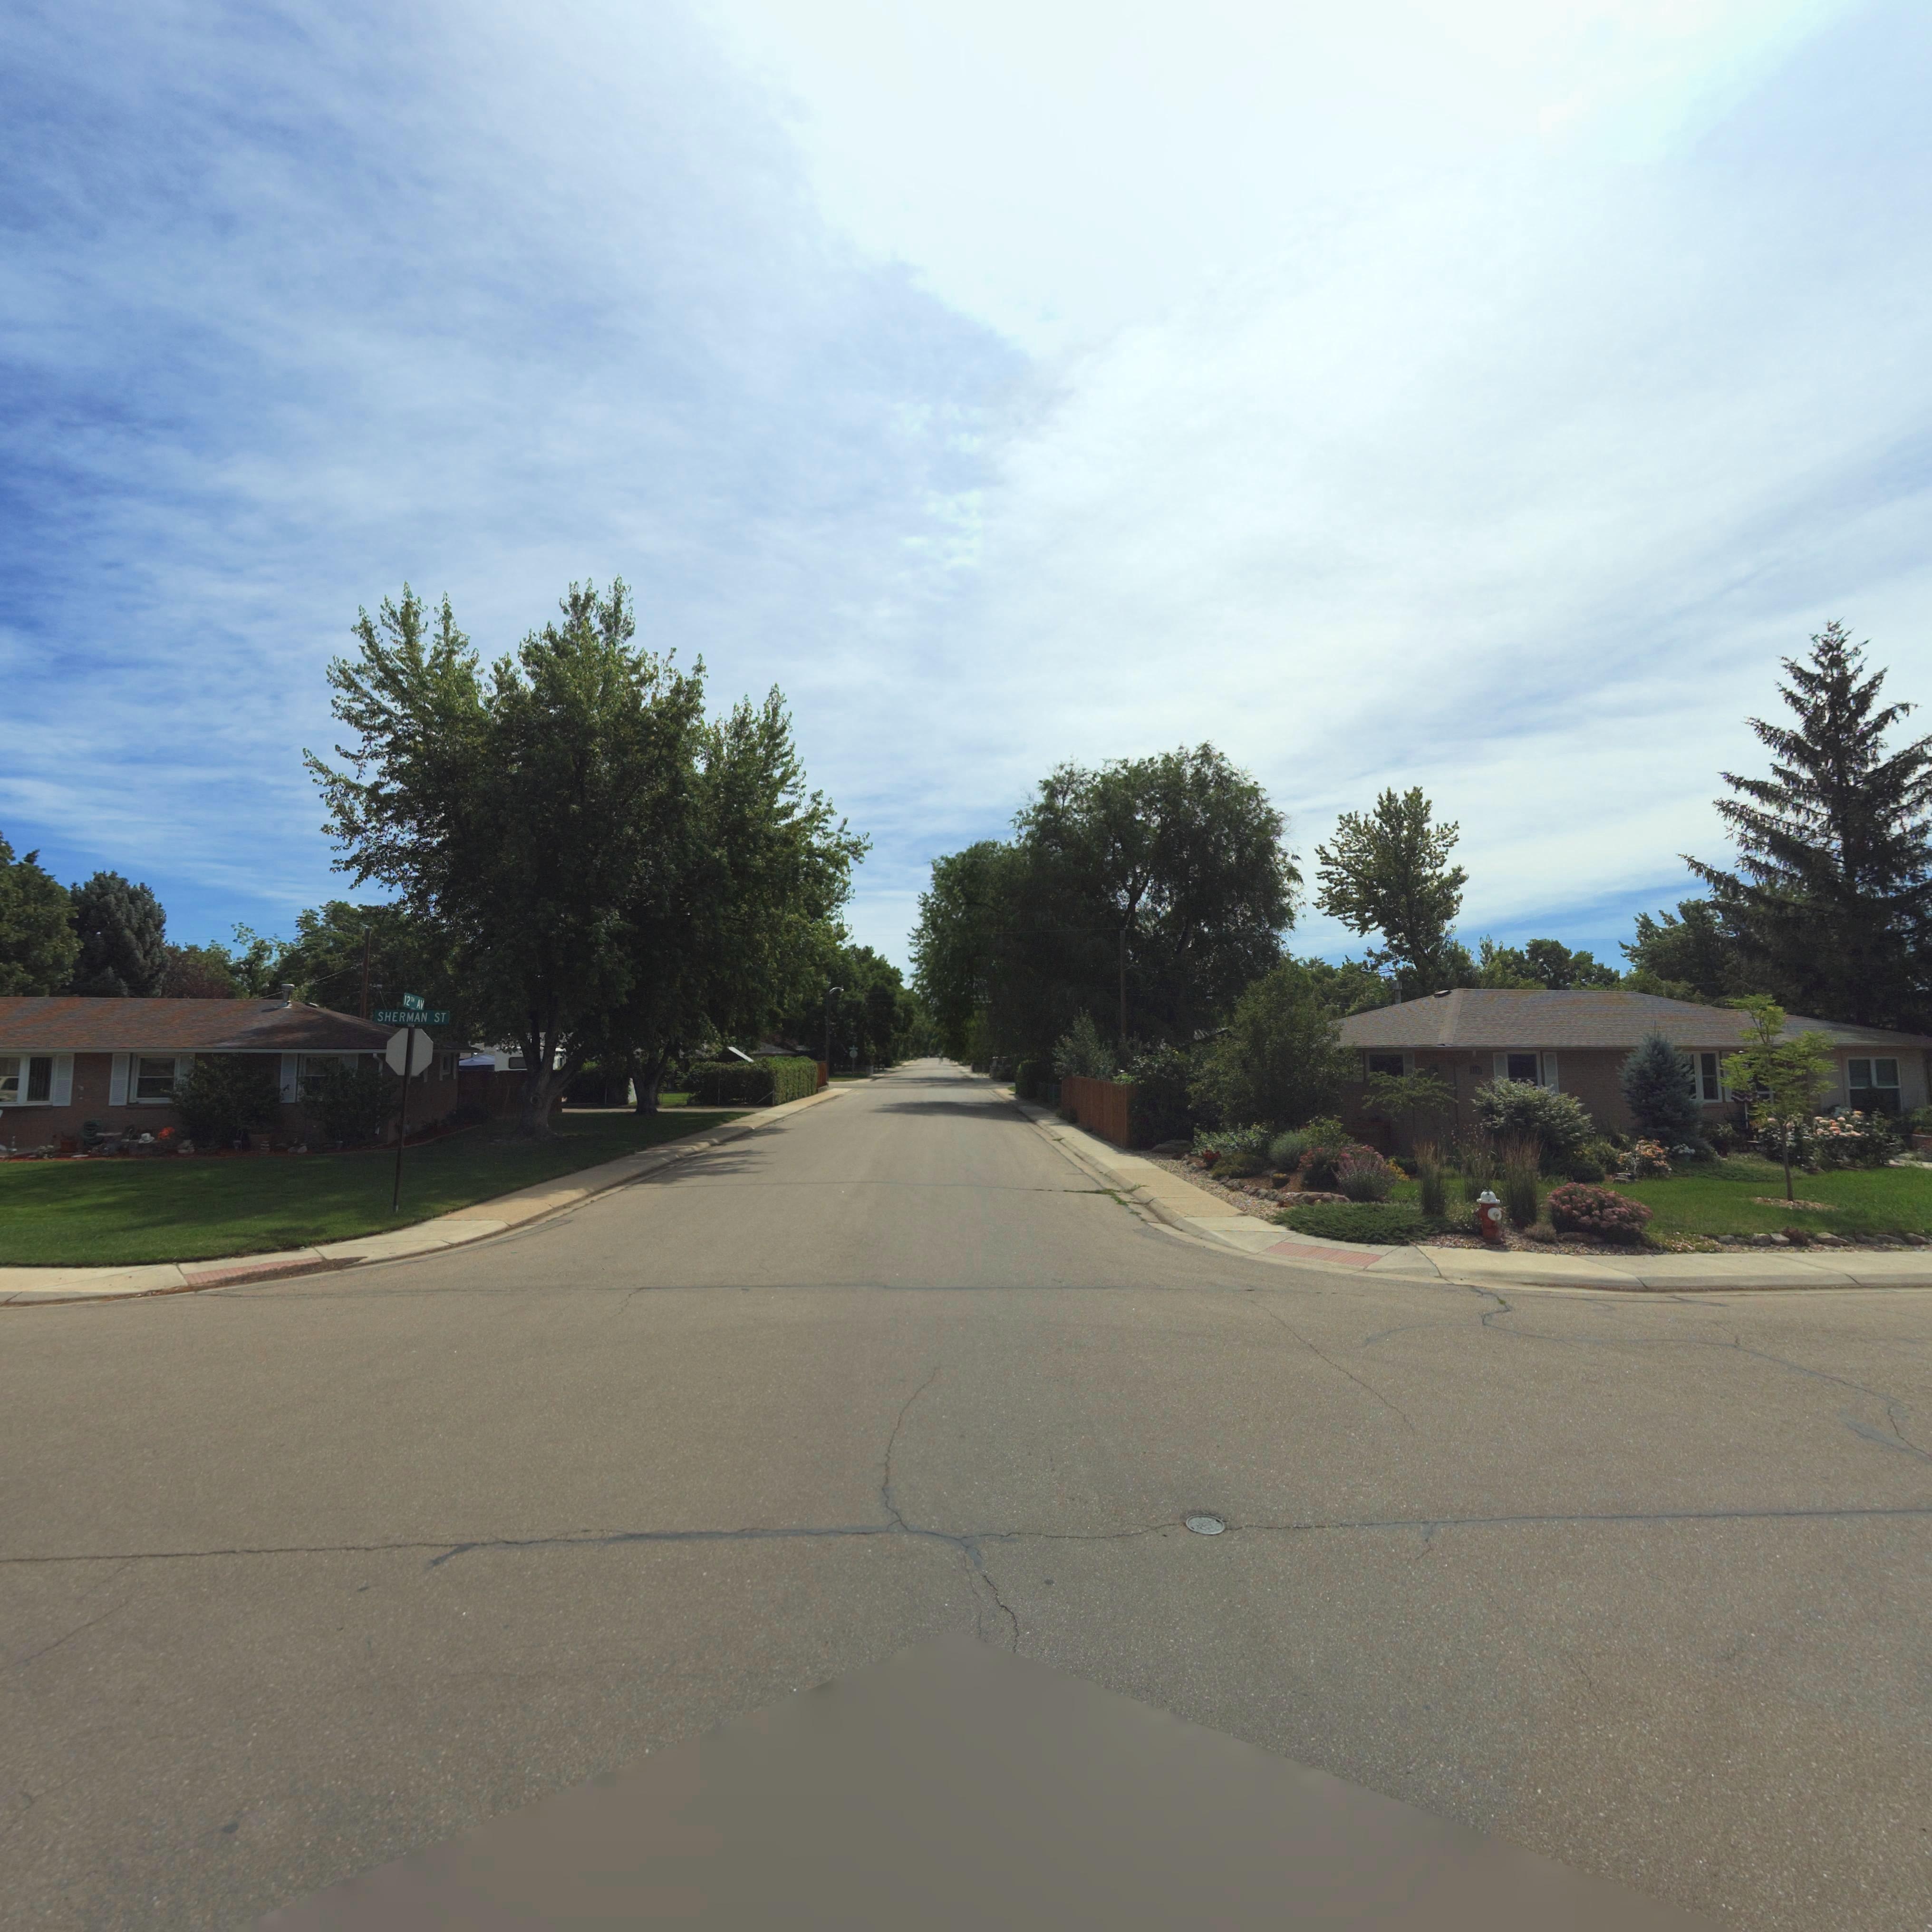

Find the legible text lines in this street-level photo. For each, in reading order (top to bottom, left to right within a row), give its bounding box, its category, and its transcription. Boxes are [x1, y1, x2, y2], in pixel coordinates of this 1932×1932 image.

[404, 995, 425, 1010] StreetName: 12TH AV
[377, 1011, 447, 1023] StreetName: SHERMAN ST